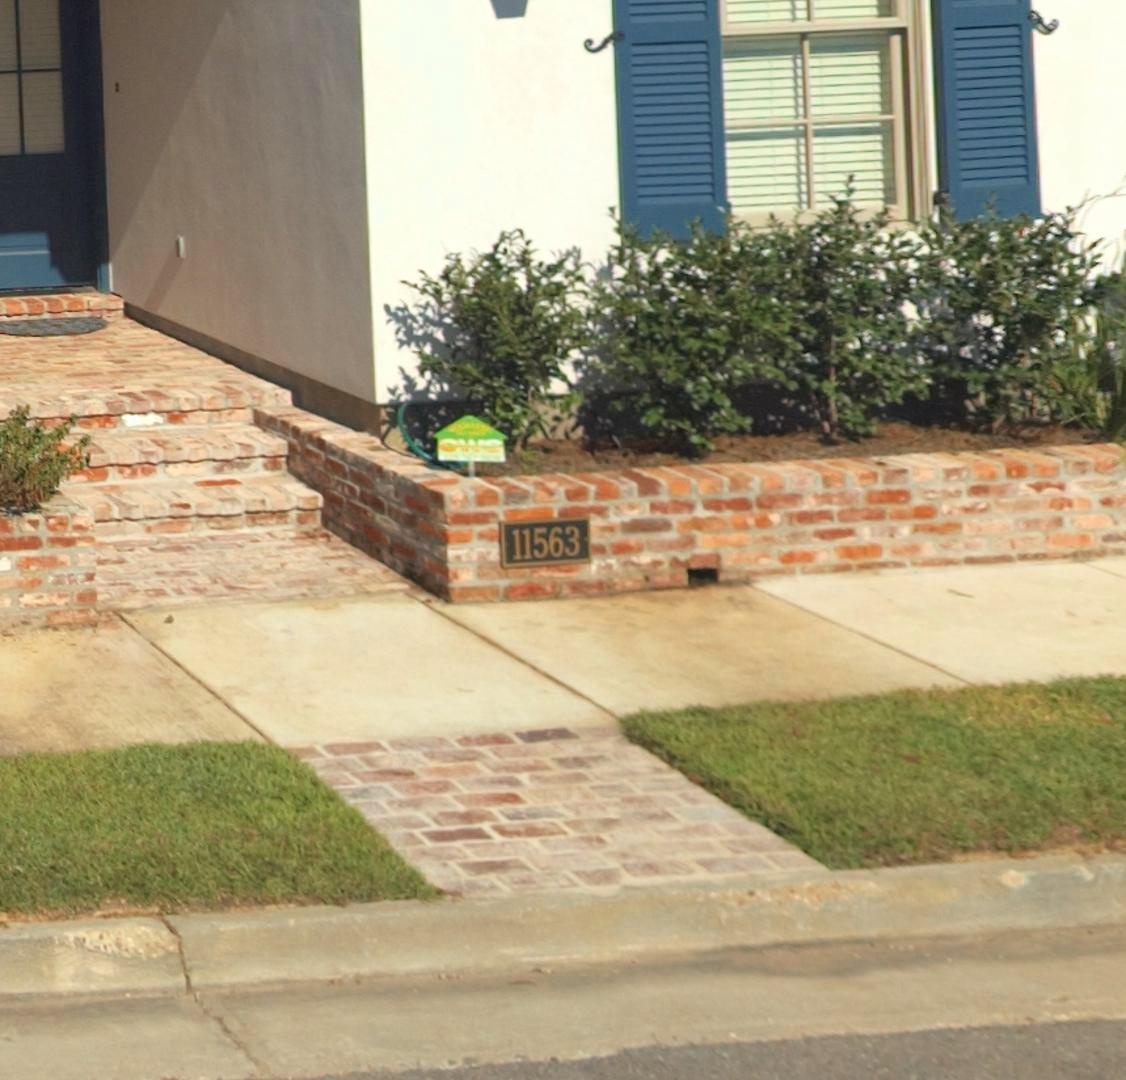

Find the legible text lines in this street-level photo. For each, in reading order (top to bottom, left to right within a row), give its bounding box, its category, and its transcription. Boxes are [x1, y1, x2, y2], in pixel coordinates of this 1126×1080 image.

[510, 524, 582, 561] StreetNumber: 11563